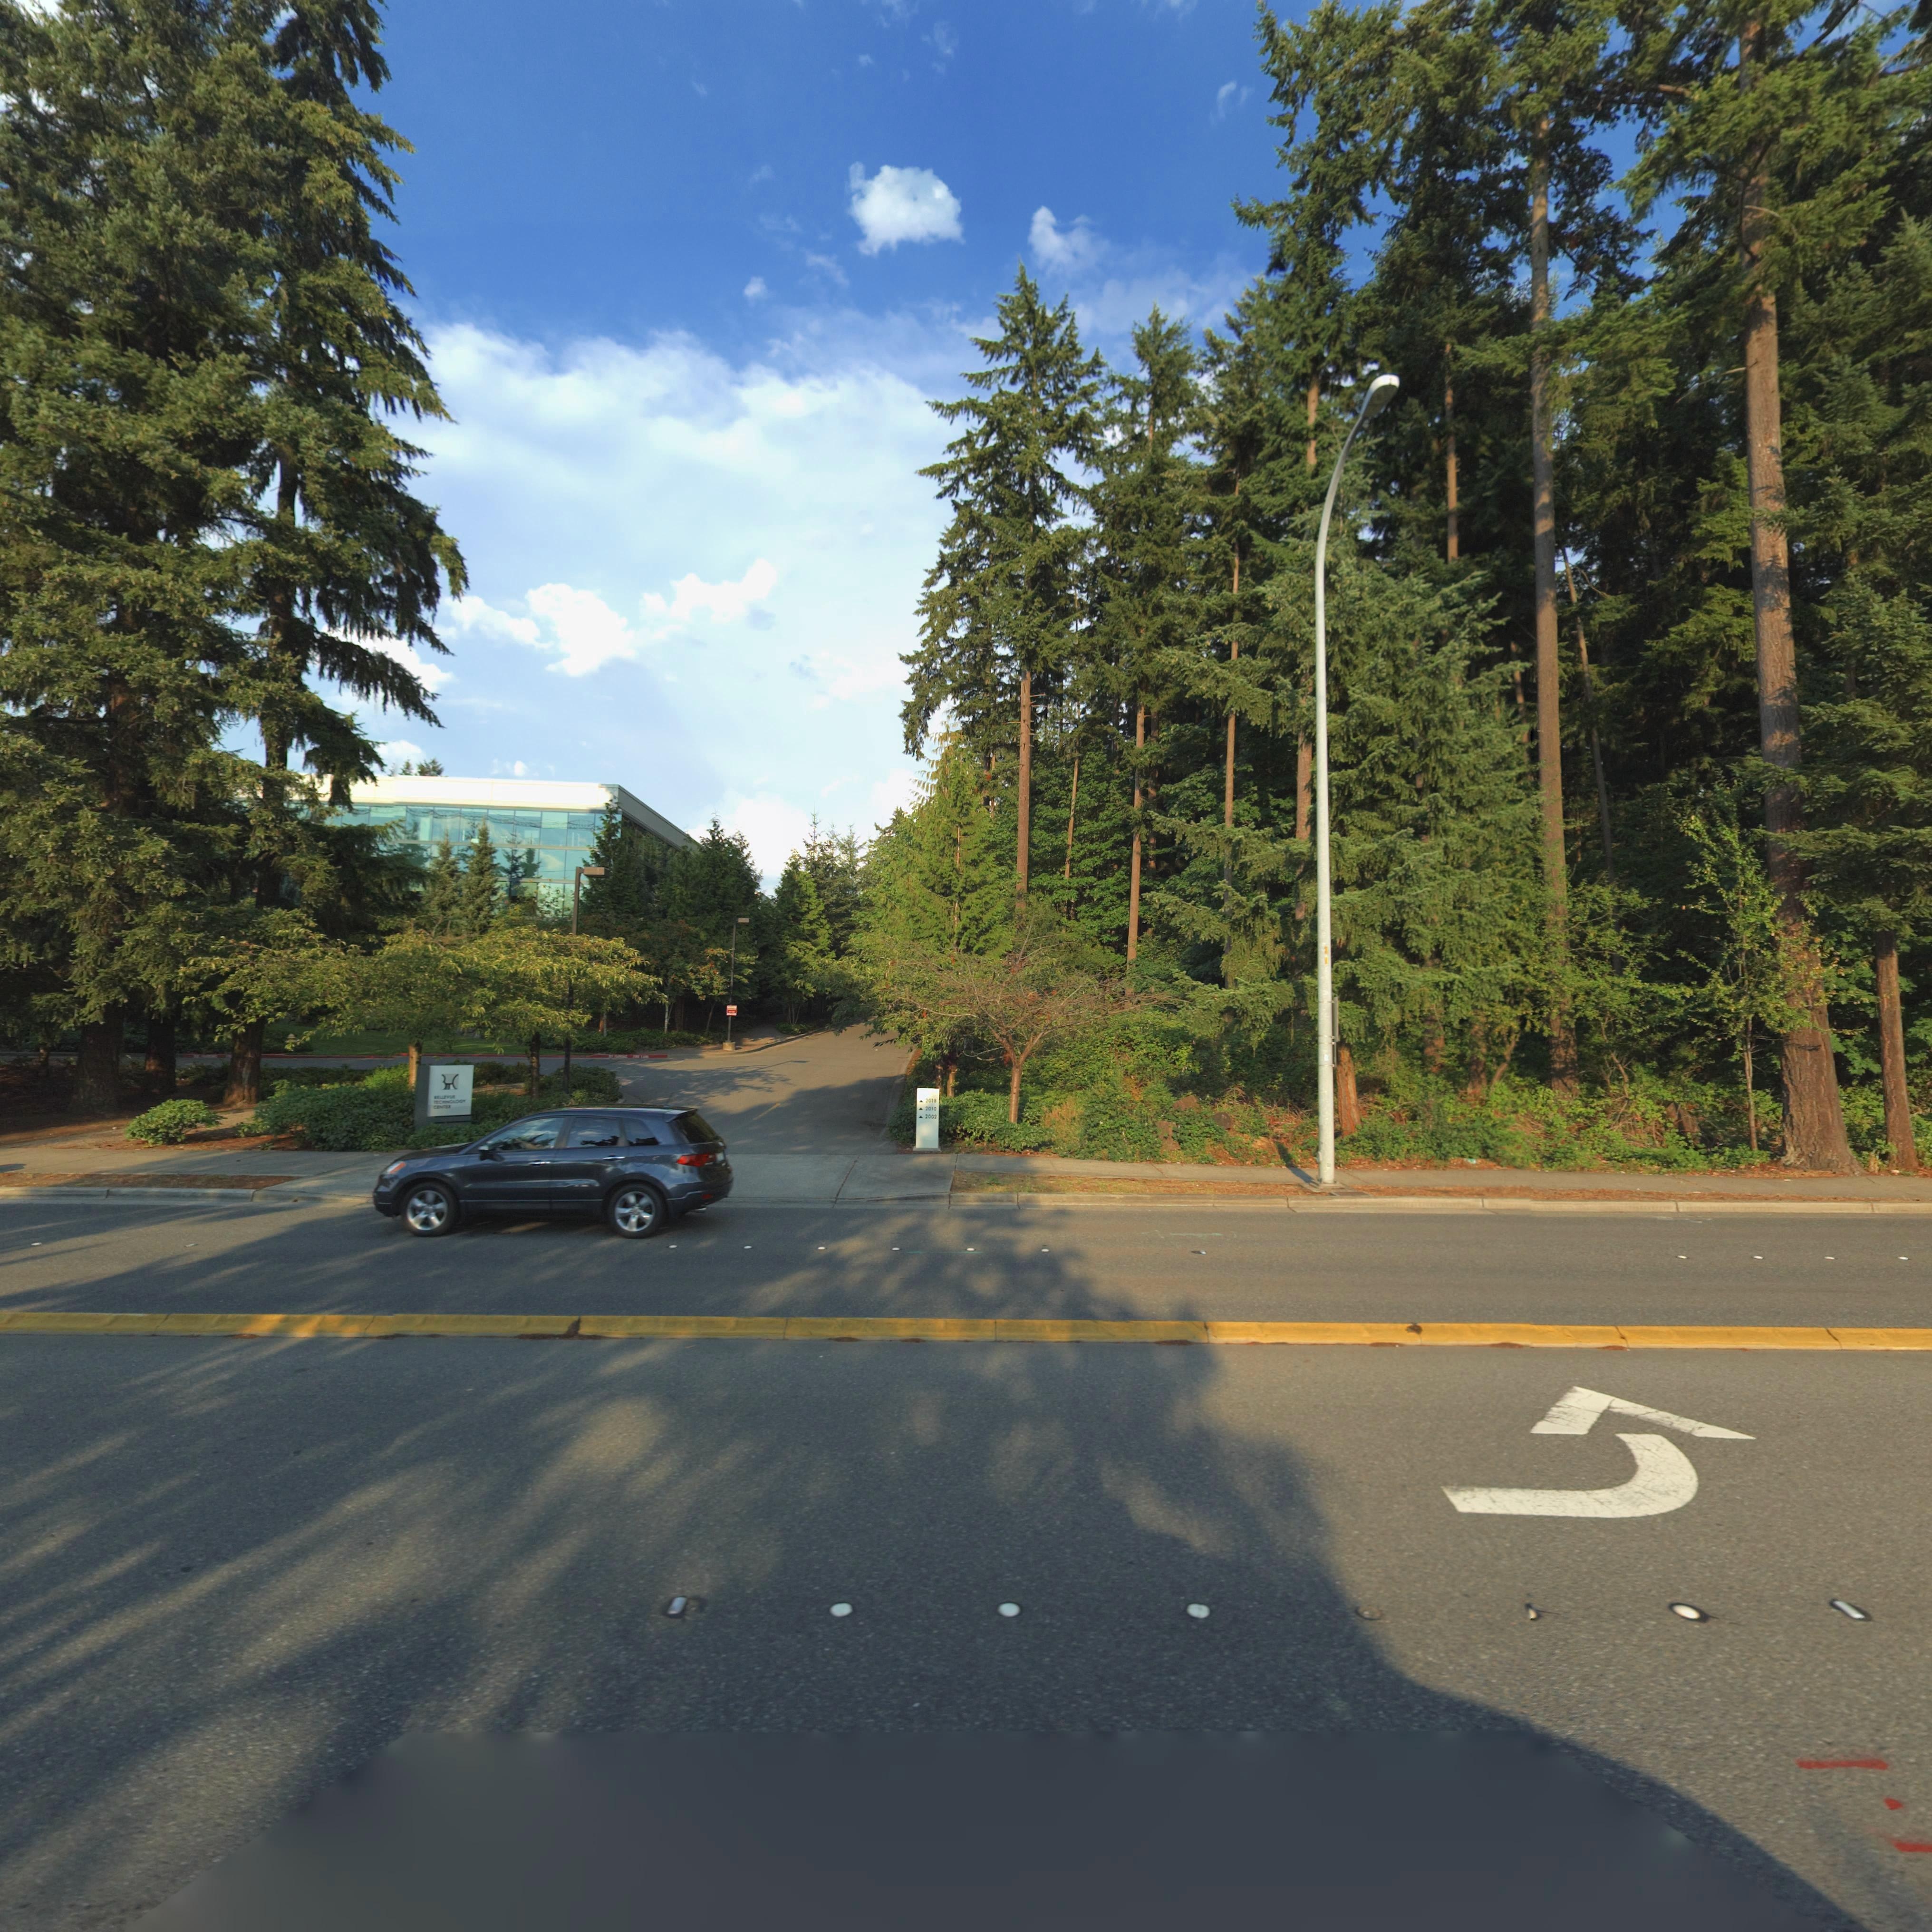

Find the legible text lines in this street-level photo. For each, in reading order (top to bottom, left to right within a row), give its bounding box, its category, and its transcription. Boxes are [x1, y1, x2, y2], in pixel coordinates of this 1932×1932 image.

[926, 1098, 937, 1103] StreetNumber: 2018
[925, 1106, 936, 1111] StreetNumber: 2010
[925, 1113, 937, 1119] None: 2002